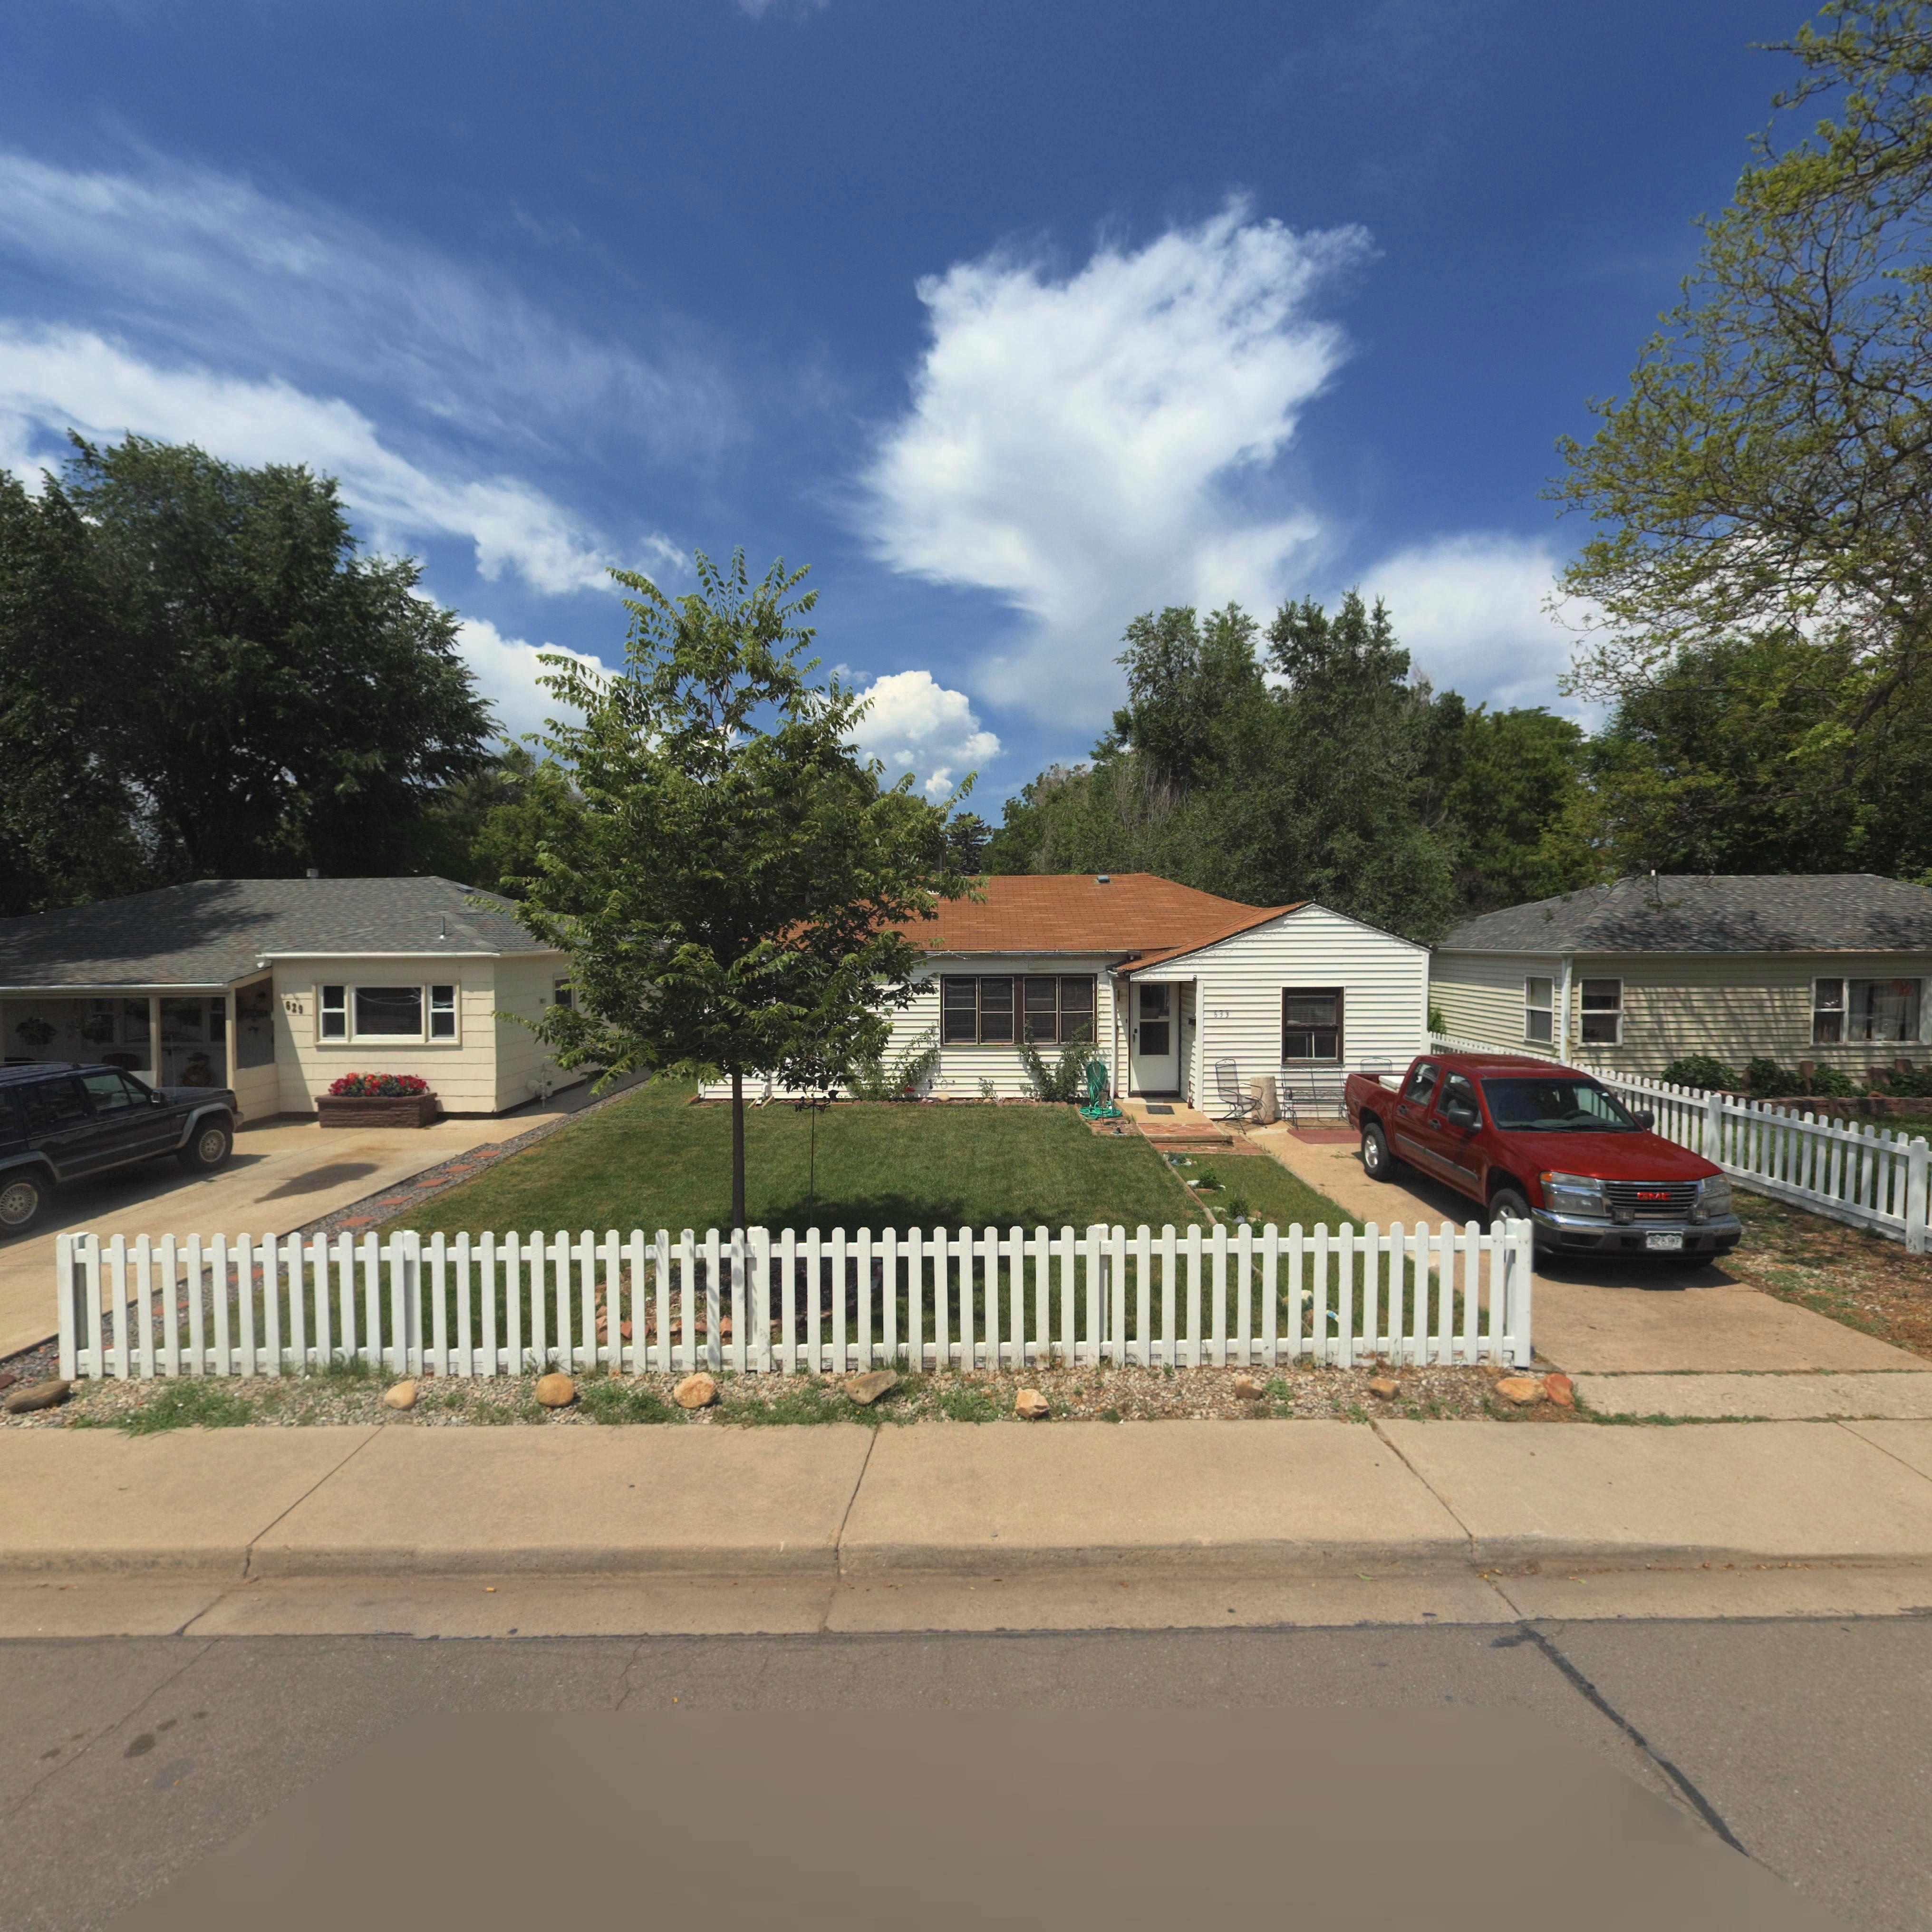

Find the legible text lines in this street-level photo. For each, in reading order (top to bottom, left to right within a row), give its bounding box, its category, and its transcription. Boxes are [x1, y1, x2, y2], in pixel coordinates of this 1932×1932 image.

[285, 1001, 302, 1014] StreetNumber: 629
[1213, 1010, 1228, 1018] StreetNumber: 633